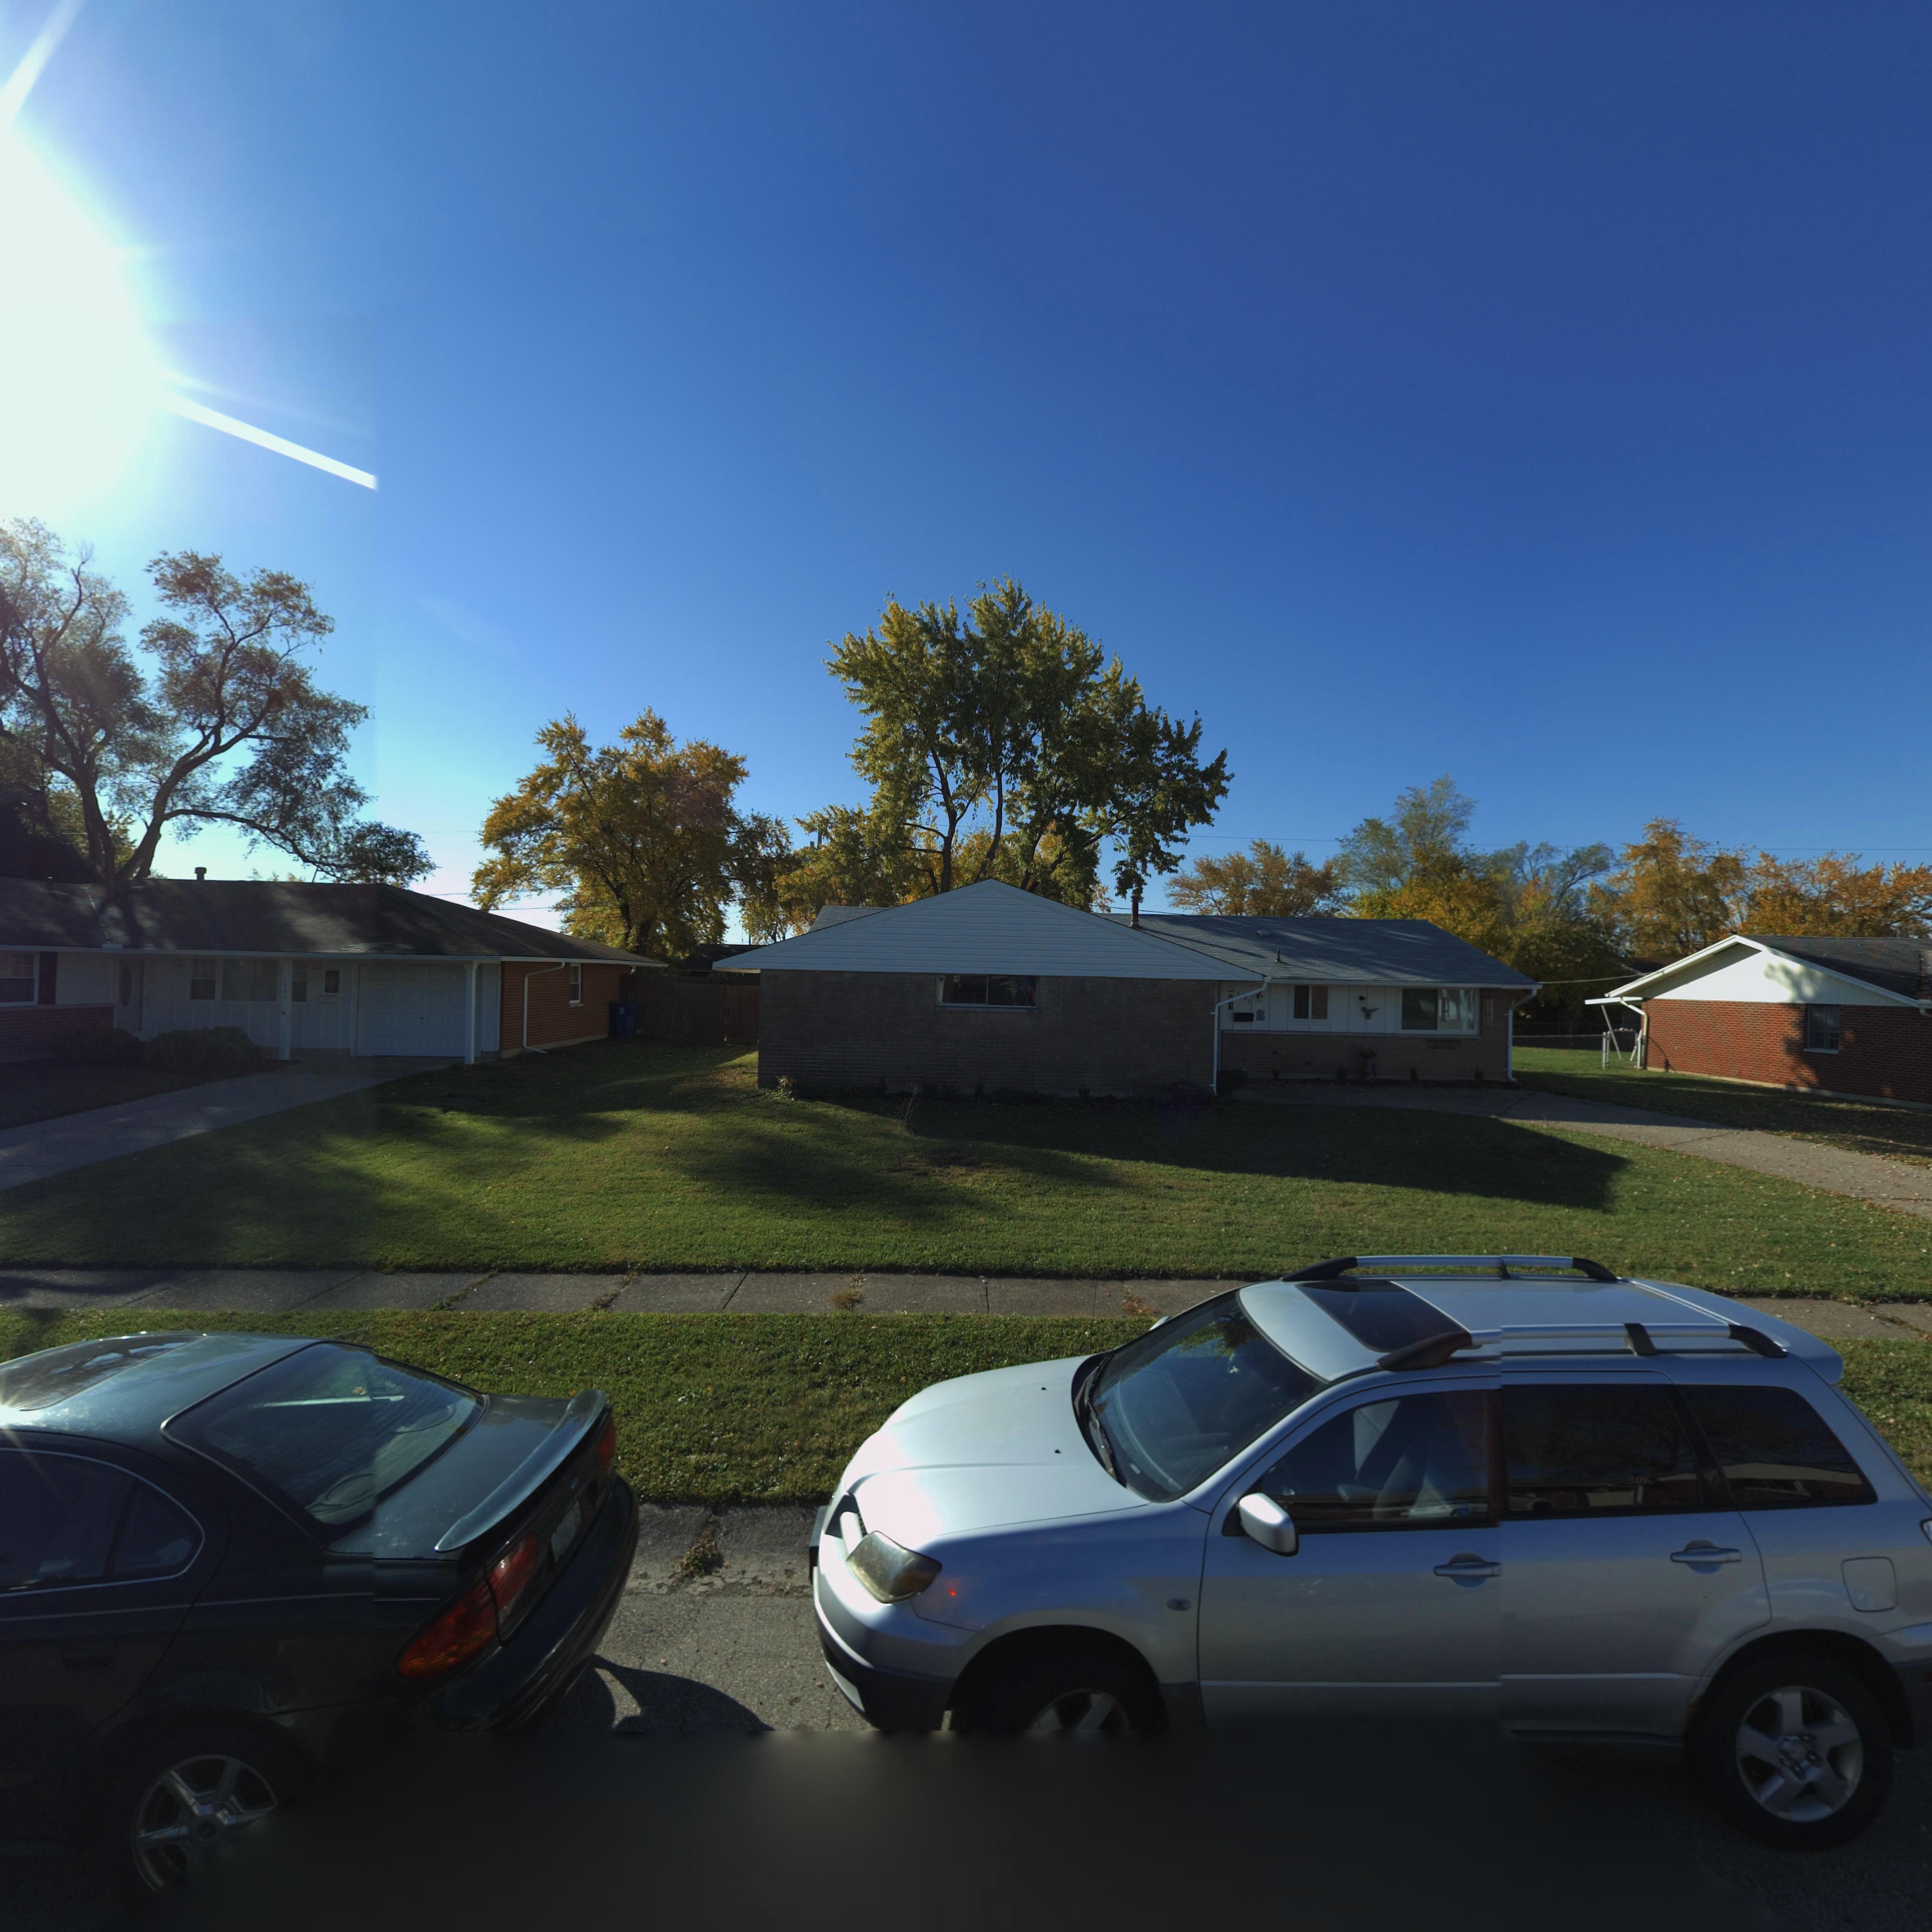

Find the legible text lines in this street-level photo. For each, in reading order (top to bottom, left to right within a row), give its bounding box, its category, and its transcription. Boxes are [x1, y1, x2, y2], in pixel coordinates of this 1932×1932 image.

[282, 975, 288, 1000] StreetNumber: 7834
[1236, 991, 1251, 1004] StreetNumber: 7**0